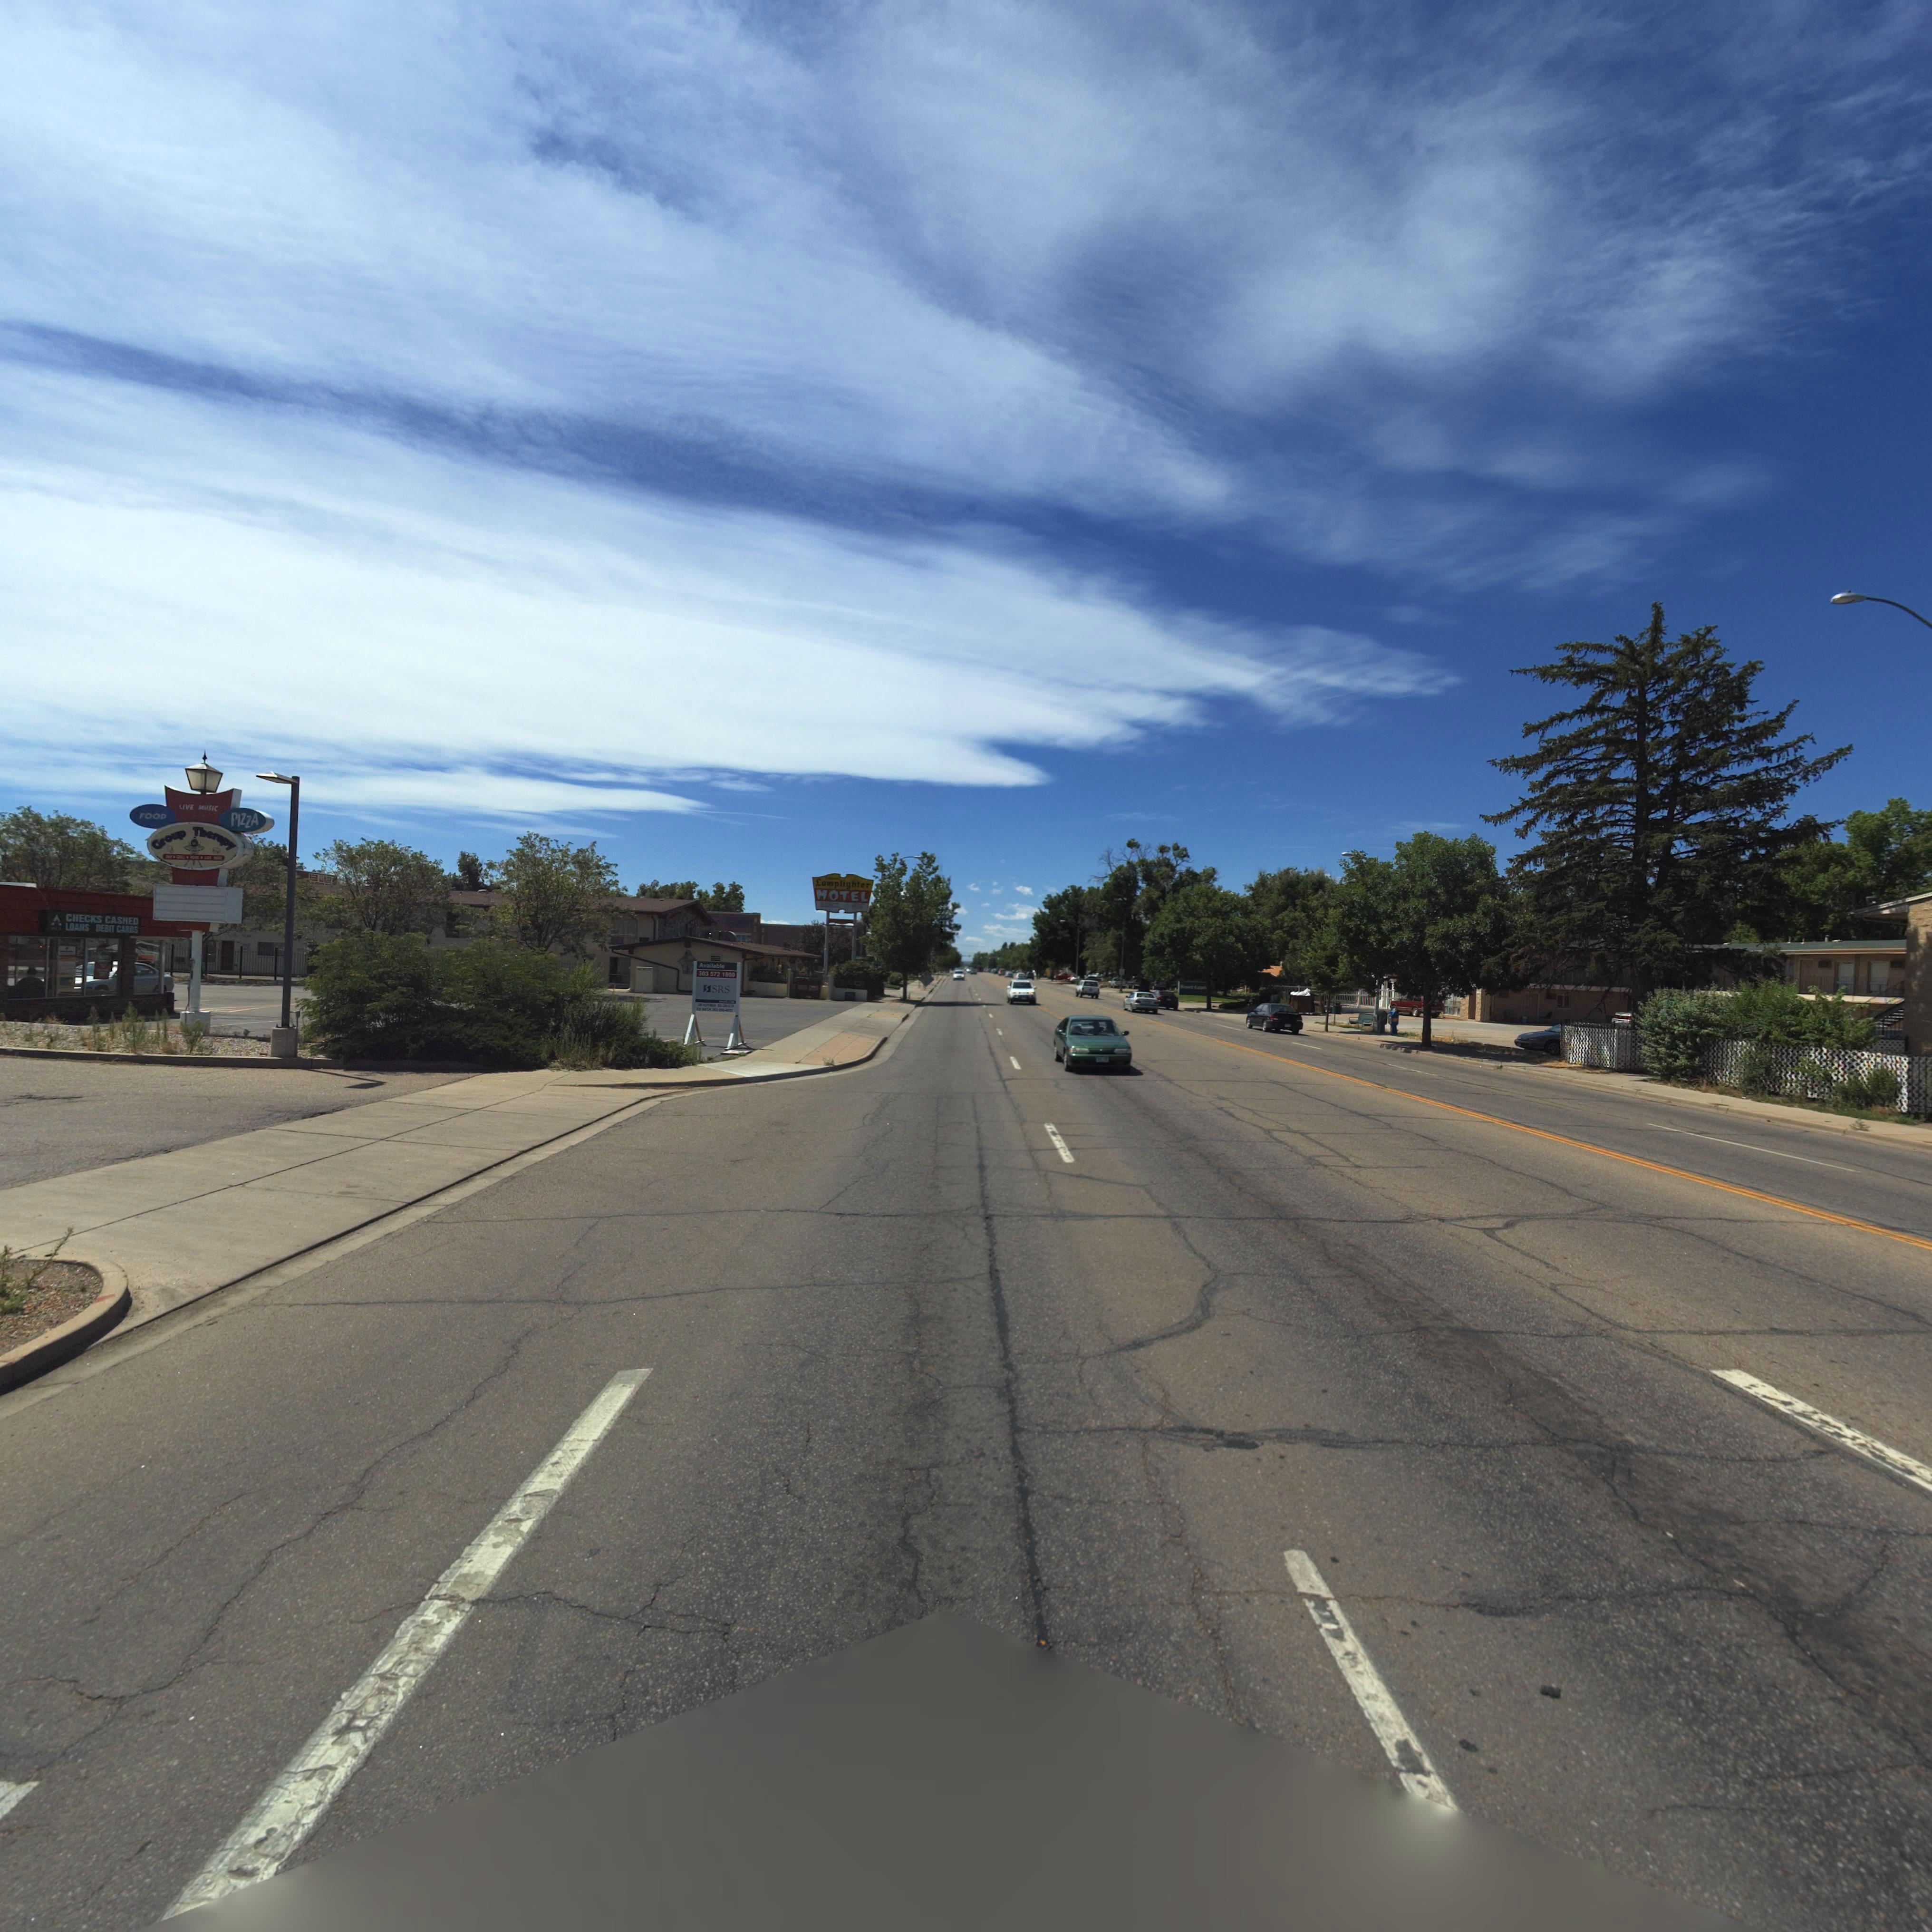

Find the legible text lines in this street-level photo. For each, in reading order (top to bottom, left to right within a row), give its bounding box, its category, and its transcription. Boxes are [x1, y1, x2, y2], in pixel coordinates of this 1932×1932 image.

[815, 878, 870, 890] BusinessName: Lamplighter
[816, 889, 868, 902] BusinessName: MOTEL
[65, 913, 139, 925] BusinessName: CHECKS CASHED*
[1180, 984, 1207, 990] BusinessName: ******* C*****